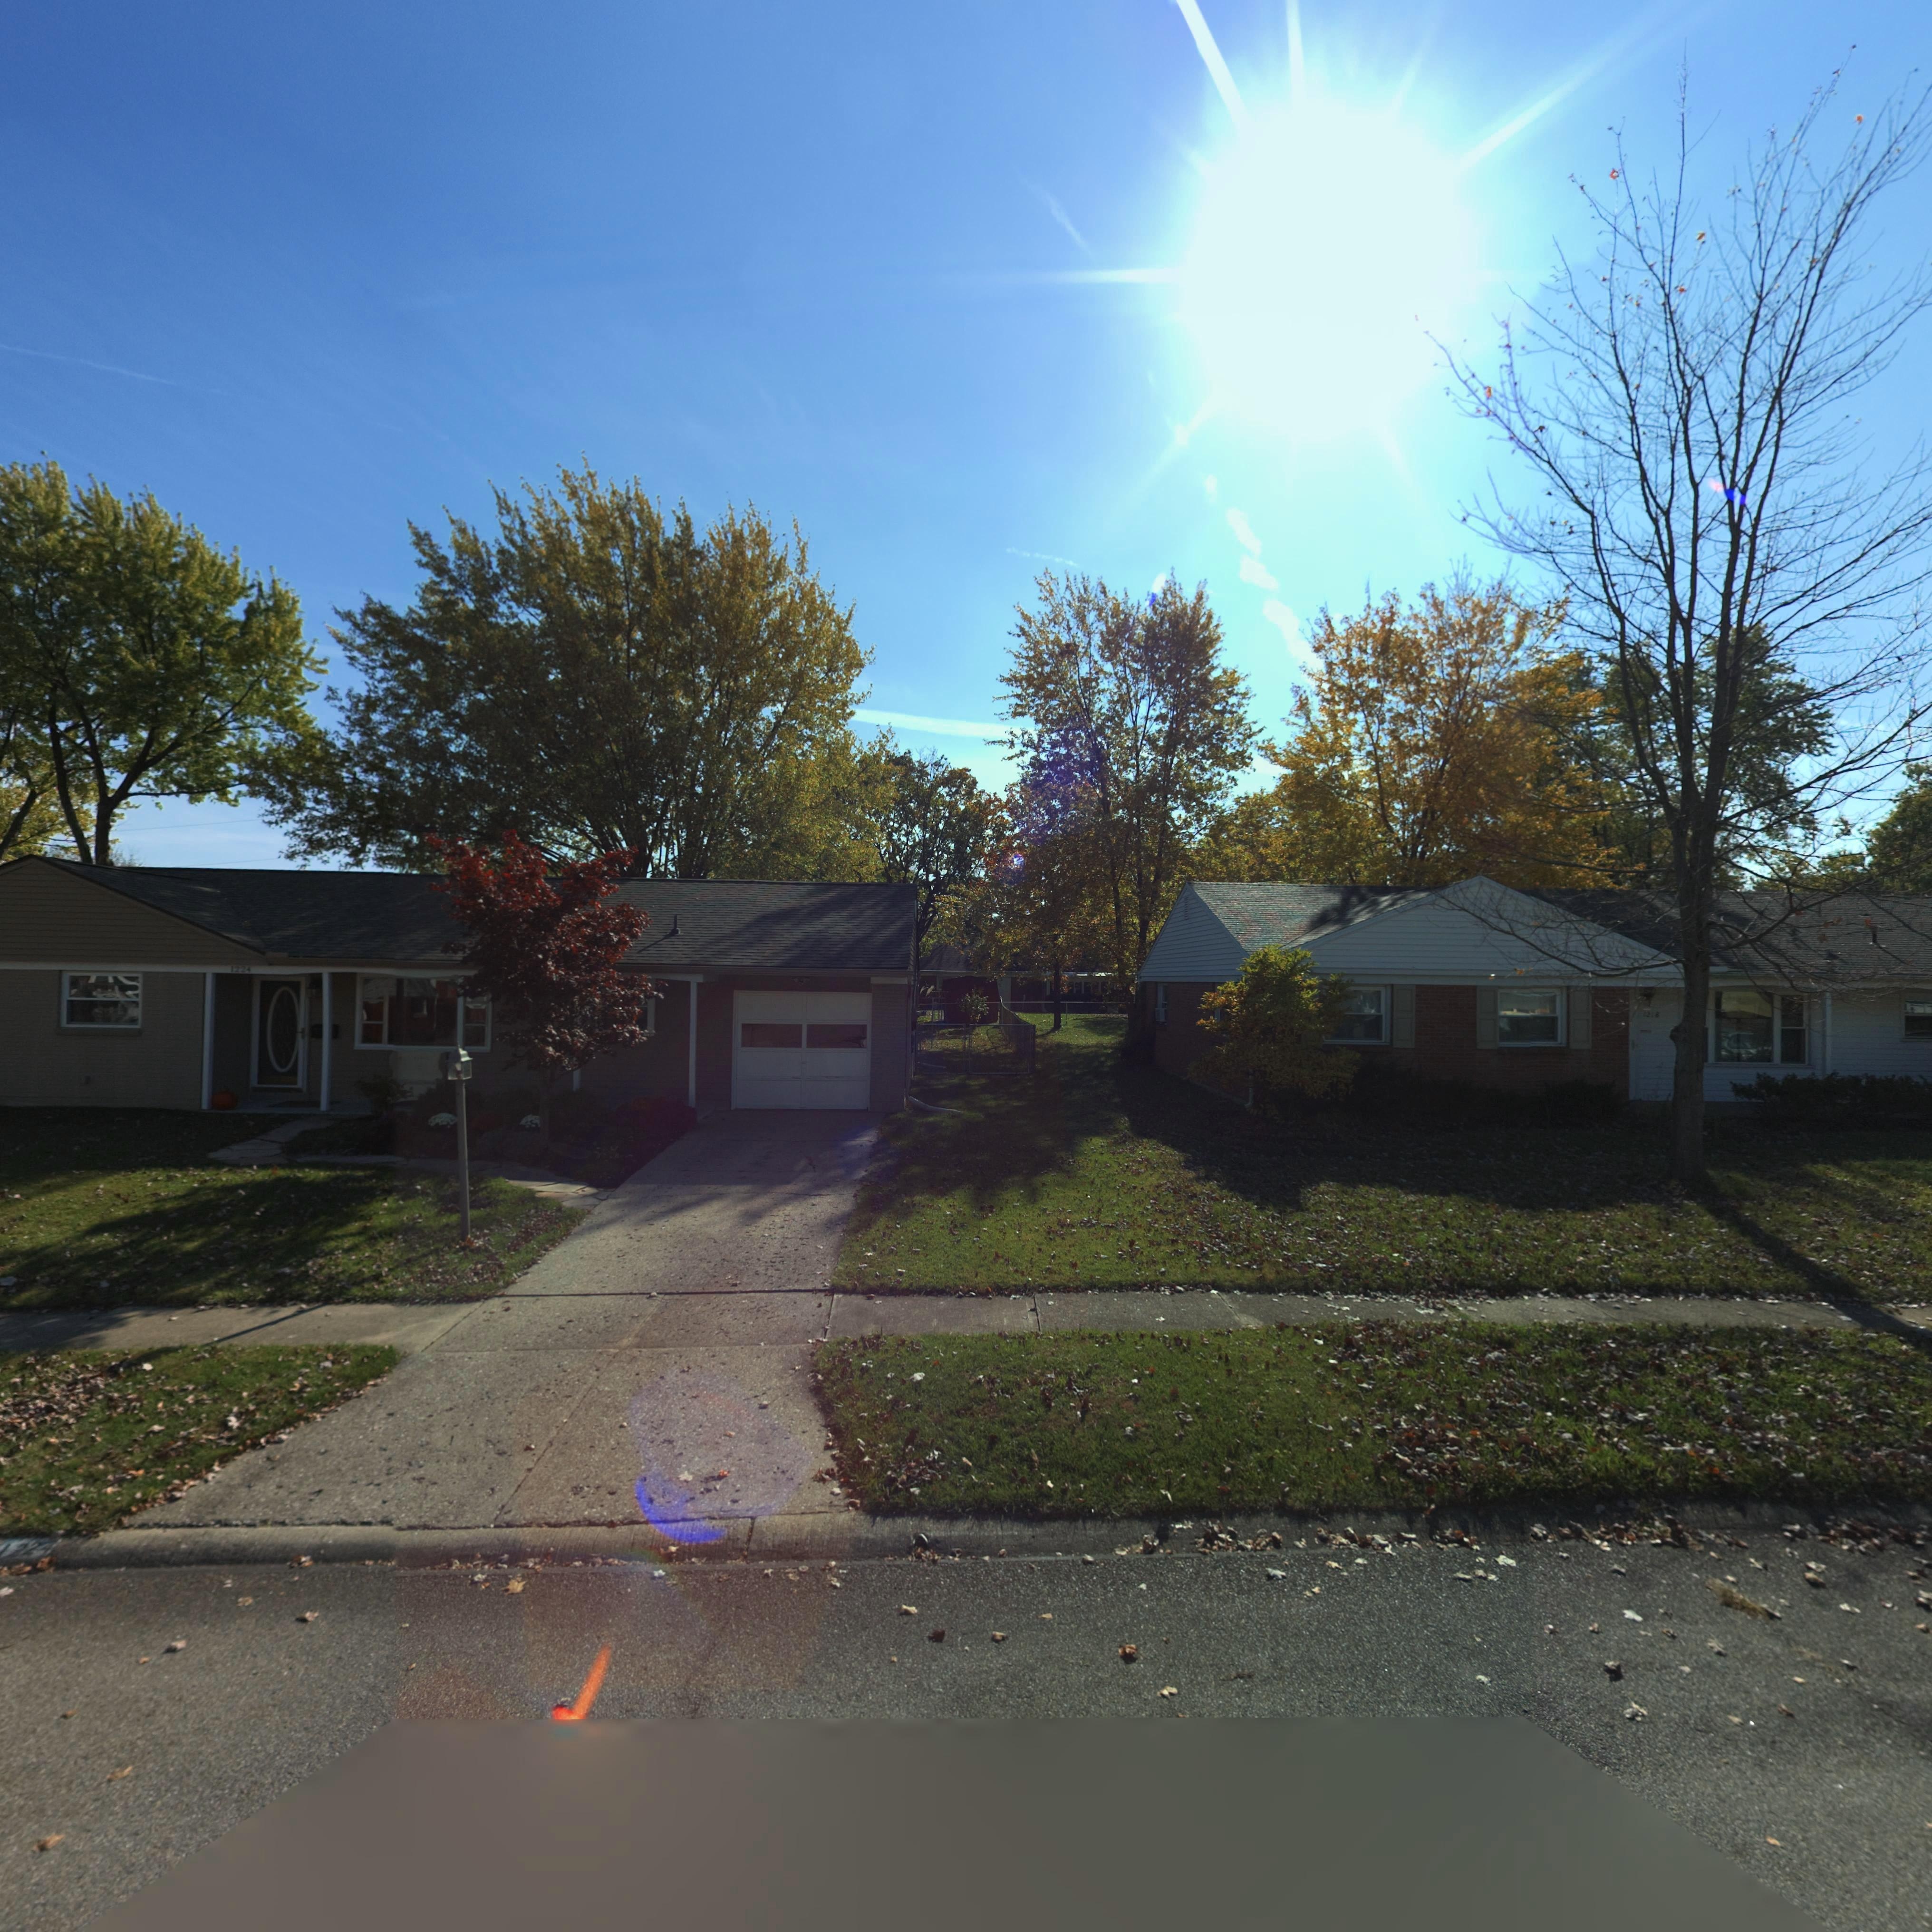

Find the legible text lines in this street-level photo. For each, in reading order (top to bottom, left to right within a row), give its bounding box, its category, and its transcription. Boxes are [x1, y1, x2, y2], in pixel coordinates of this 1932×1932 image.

[229, 966, 252, 974] StreetNumber: 1224
[1642, 1011, 1660, 1018] StreetNumber: 1218